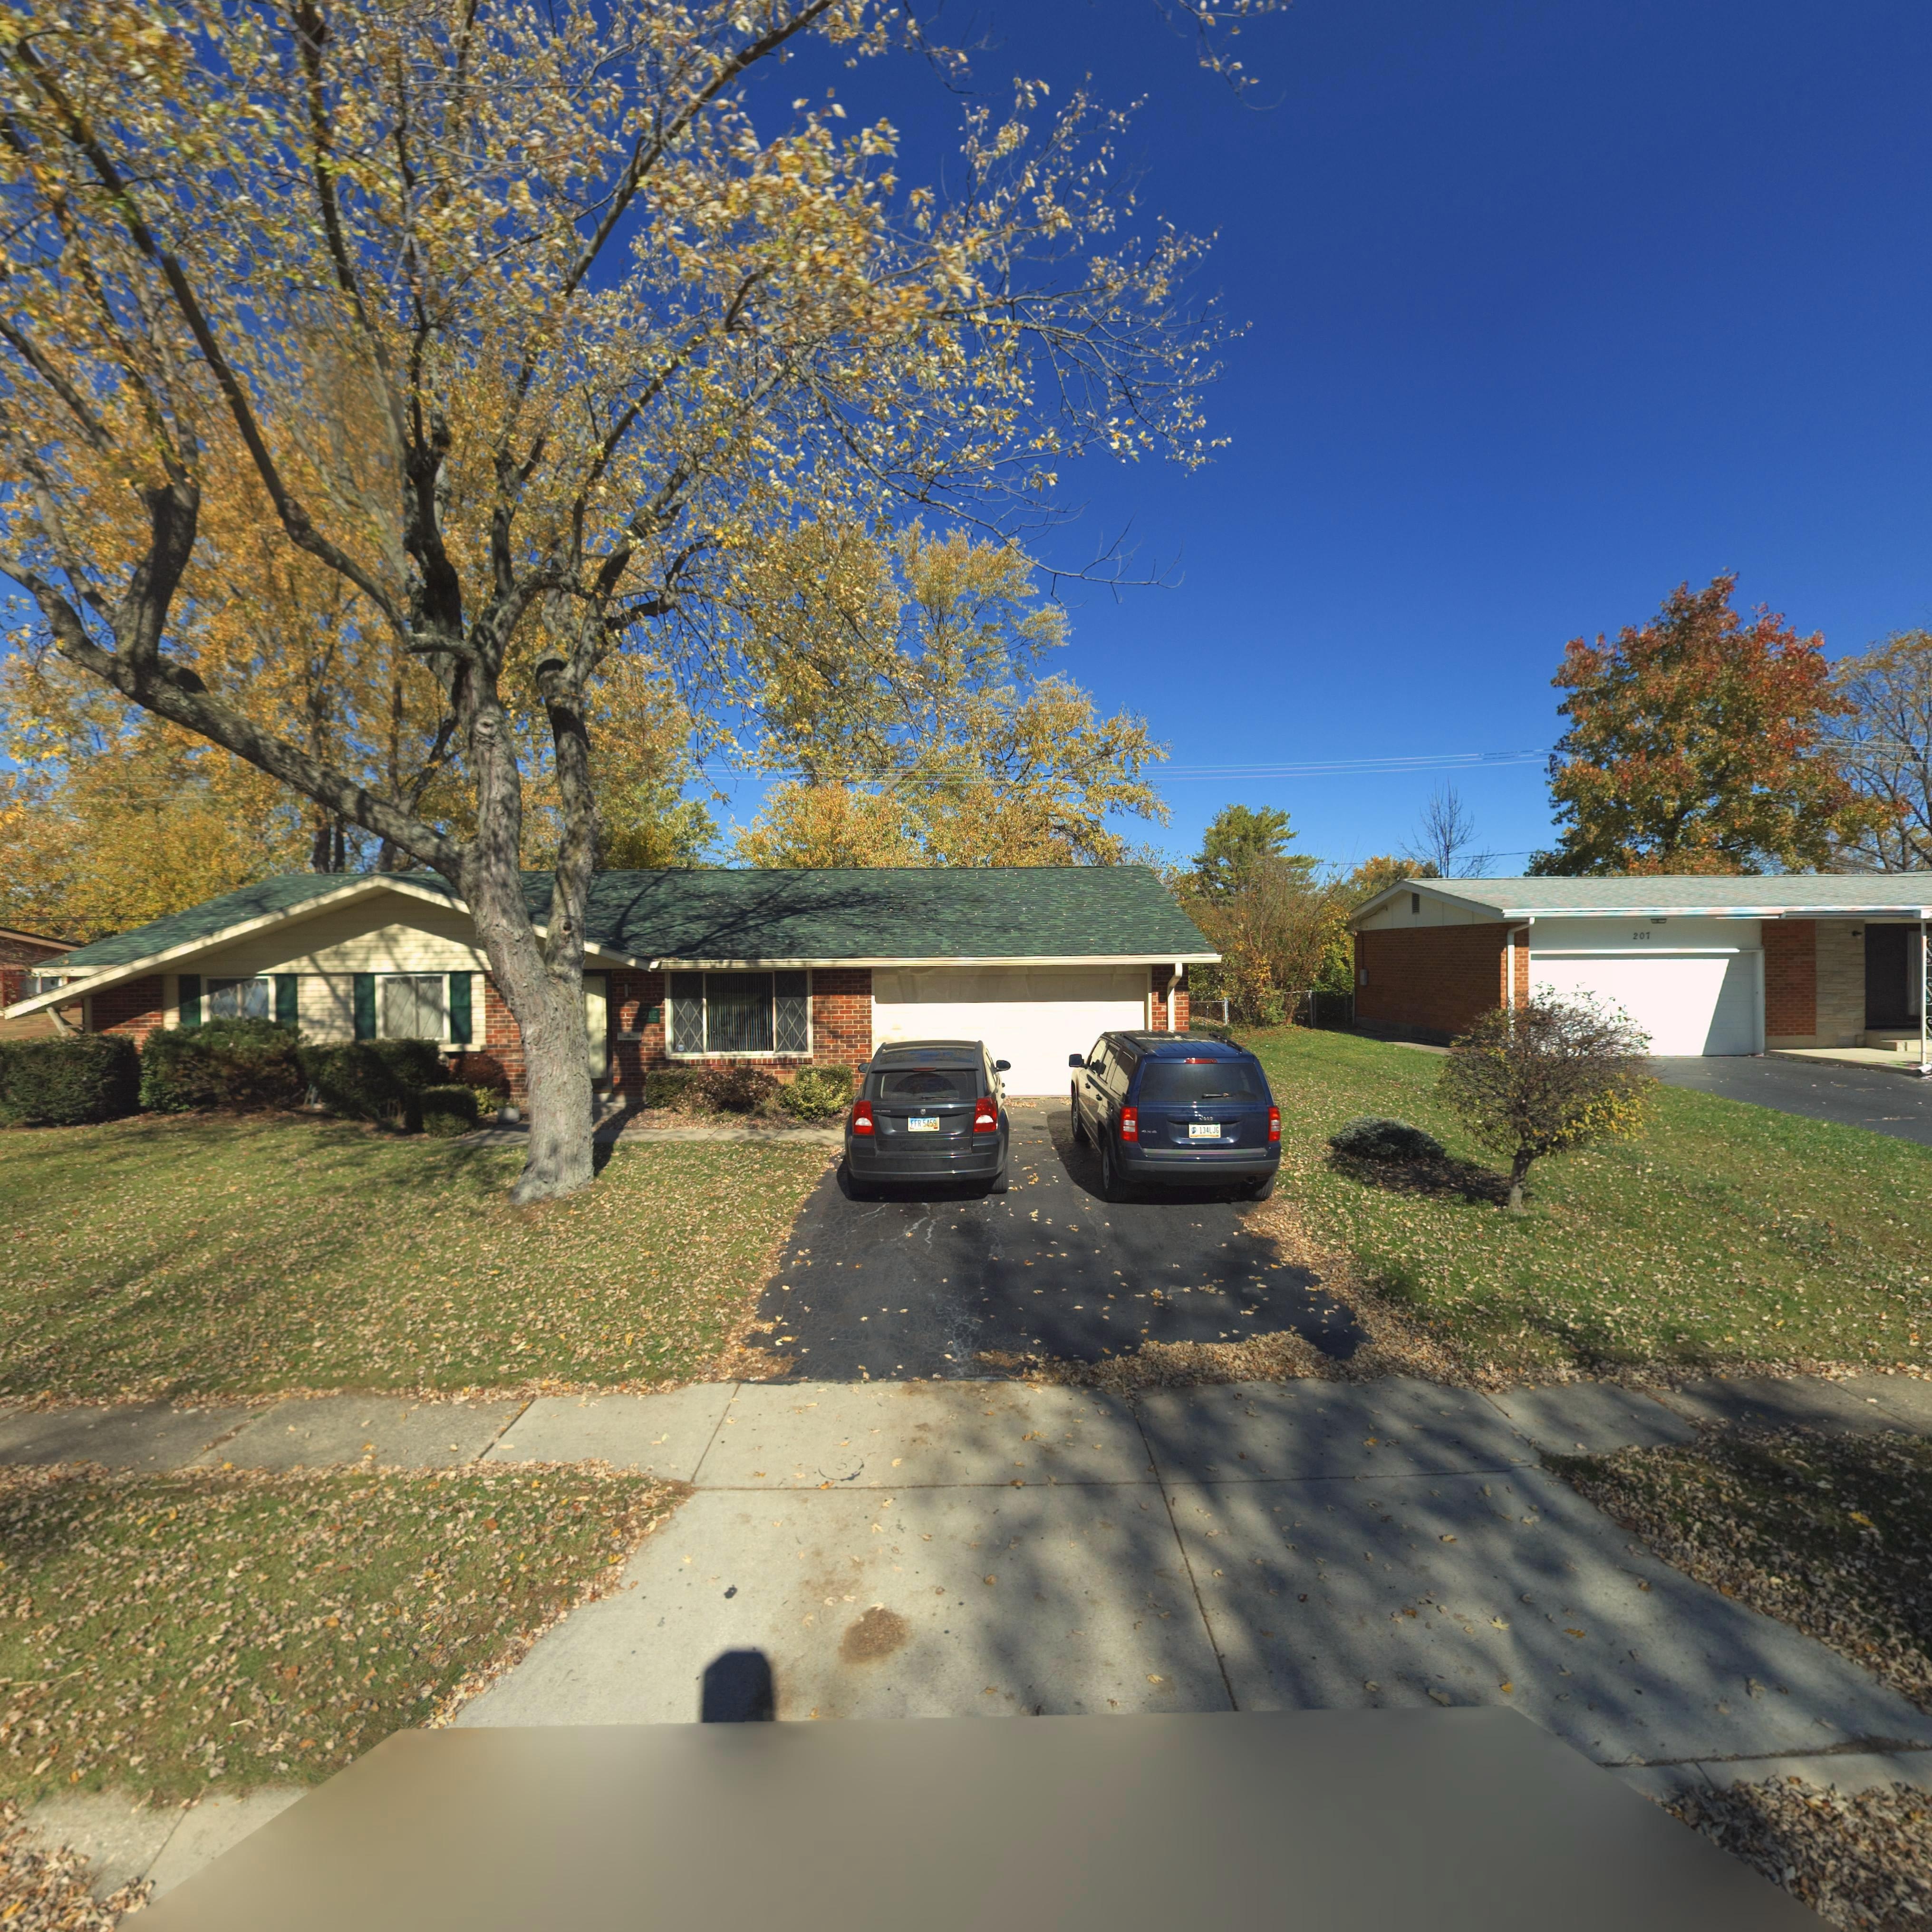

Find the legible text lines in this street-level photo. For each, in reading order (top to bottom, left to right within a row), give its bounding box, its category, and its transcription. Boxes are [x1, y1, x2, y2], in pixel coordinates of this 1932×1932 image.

[1632, 930, 1652, 940] StreetNumber: 207
[642, 1010, 658, 1019] StreetNumber: 2**